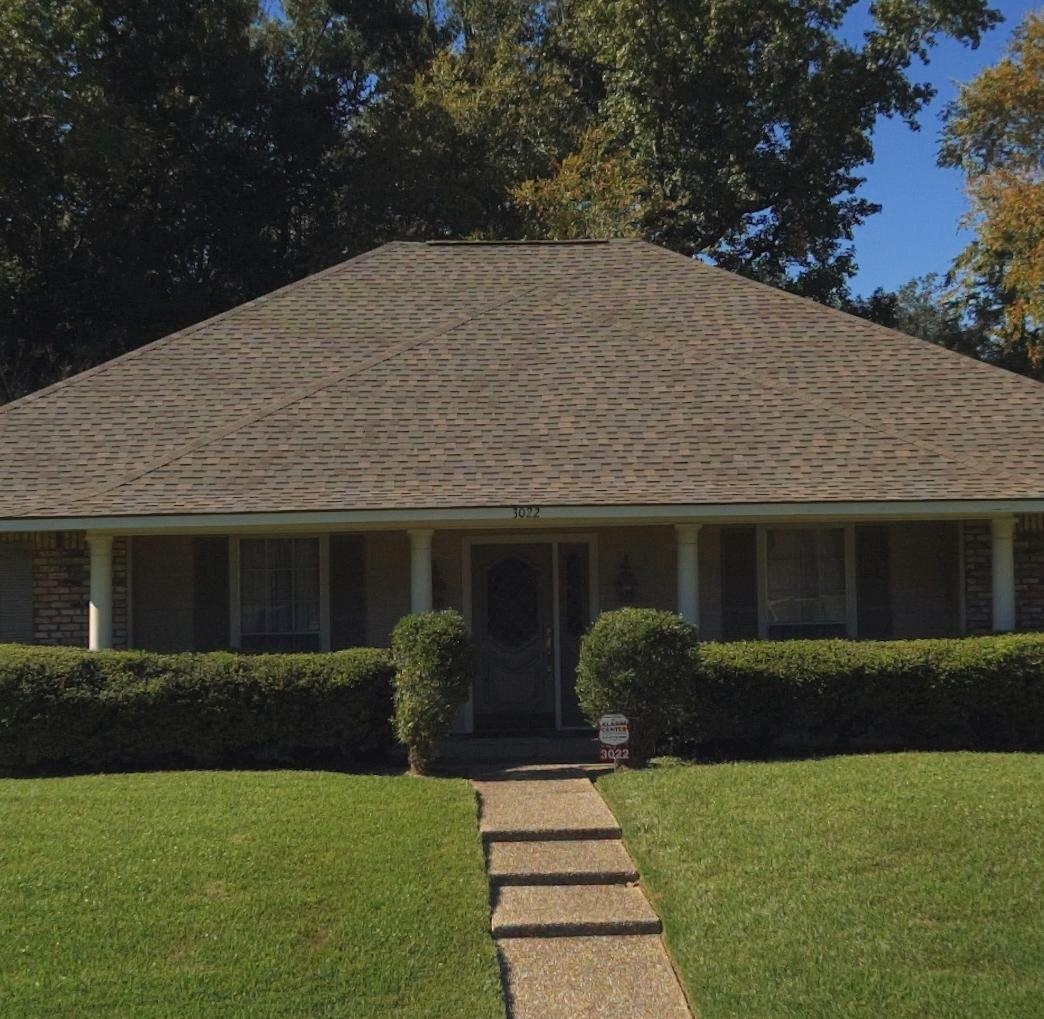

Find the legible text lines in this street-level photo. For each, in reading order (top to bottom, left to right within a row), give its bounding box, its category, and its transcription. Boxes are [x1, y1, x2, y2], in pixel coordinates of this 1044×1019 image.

[510, 505, 542, 520] StreetNumber: 3022
[598, 746, 632, 761] StreetNumber: 3022